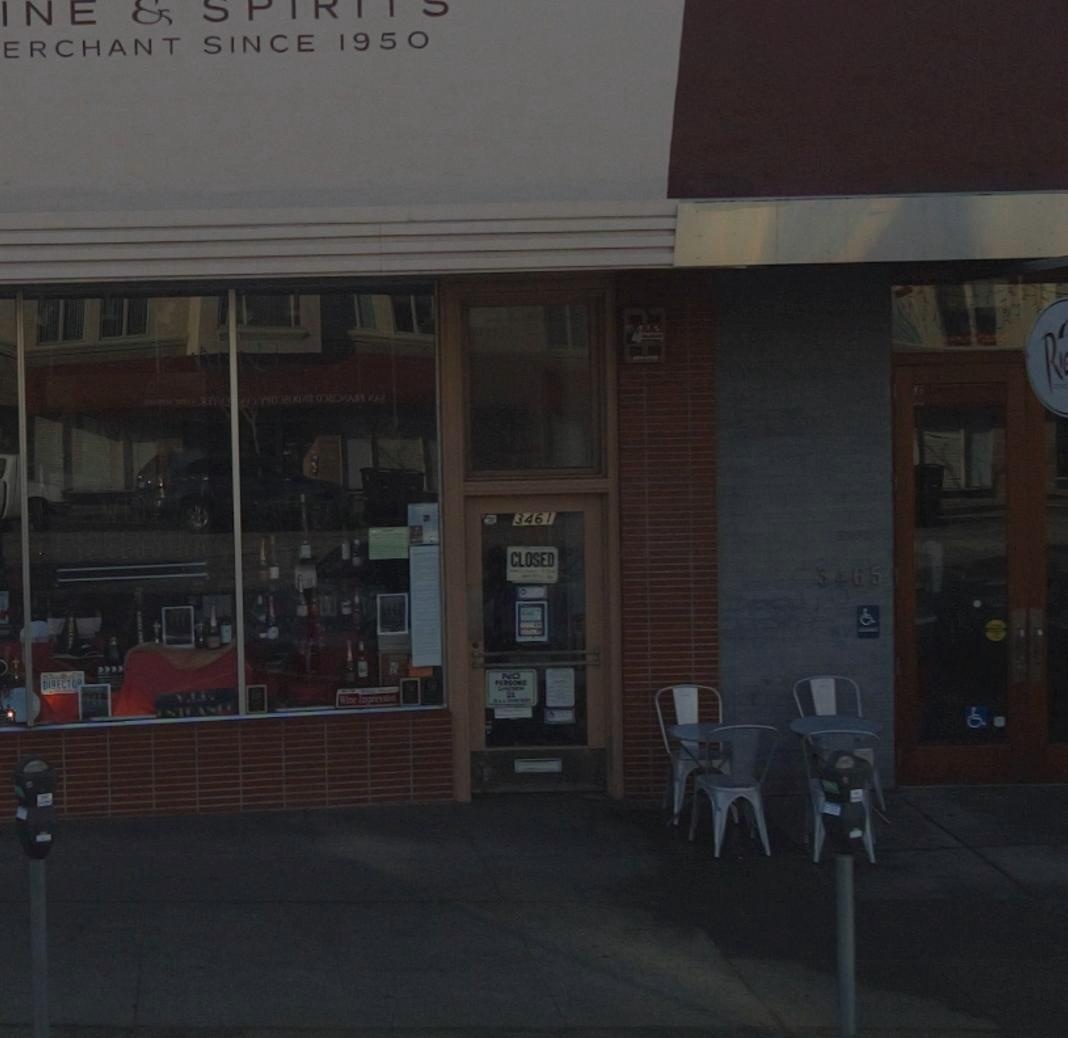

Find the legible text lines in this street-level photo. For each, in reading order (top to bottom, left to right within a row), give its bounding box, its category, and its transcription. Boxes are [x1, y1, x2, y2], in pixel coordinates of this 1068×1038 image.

[0, 27, 434, 63] None: ERCHANT SINCE 1950
[1039, 330, 1065, 396] BusinessName: R
[512, 510, 556, 527] StreetNumber: 3461
[508, 549, 557, 570] None: CLOSED
[814, 563, 884, 589] StreetNumber: 3465
[41, 677, 85, 692] None: DIRECTOR